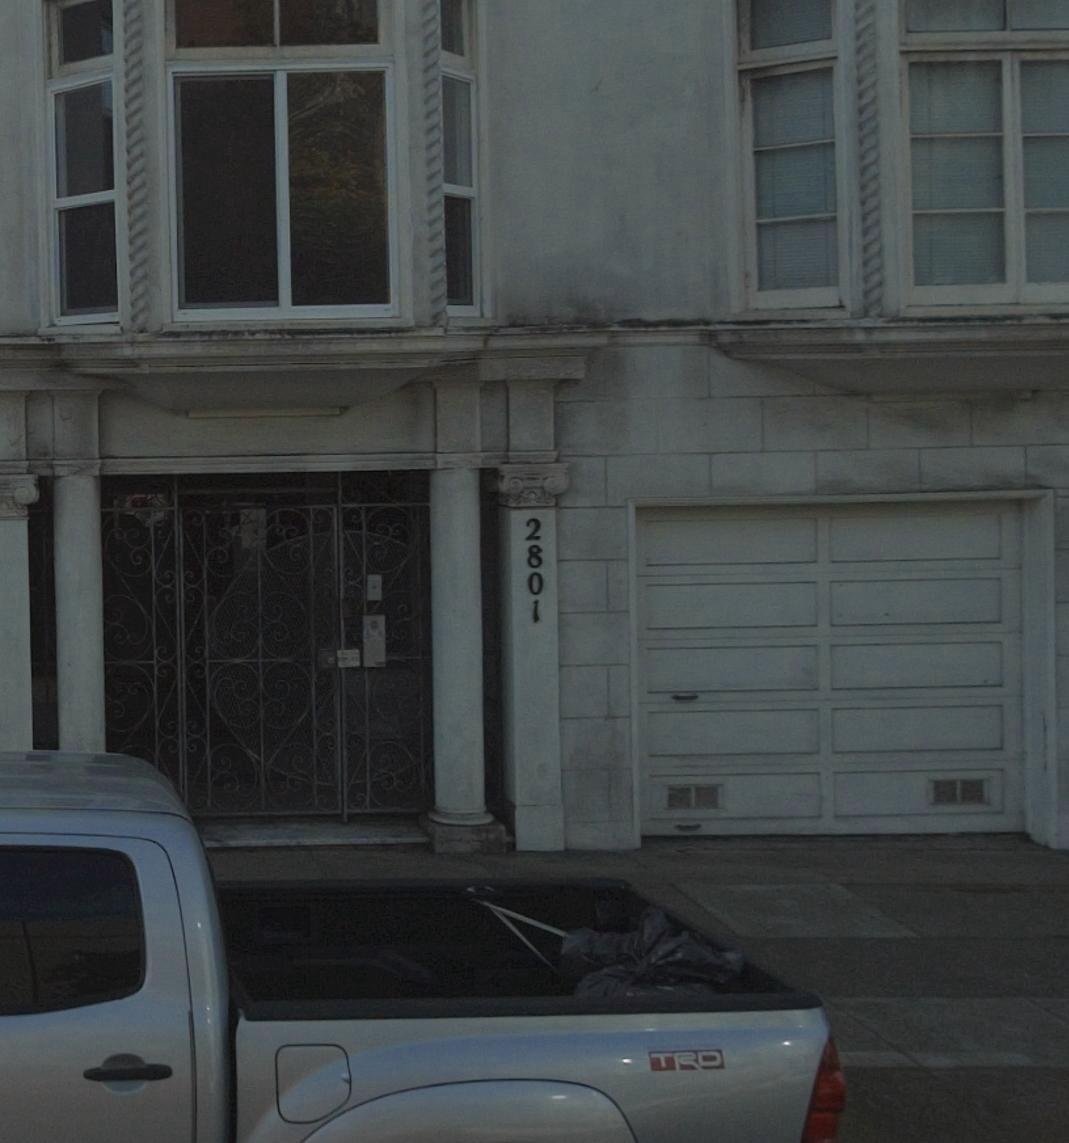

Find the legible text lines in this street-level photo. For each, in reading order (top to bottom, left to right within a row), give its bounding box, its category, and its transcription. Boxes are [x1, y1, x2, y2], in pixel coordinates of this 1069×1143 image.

[522, 515, 547, 626] StreetNumber: 2801
[646, 1048, 726, 1073] None: TRD